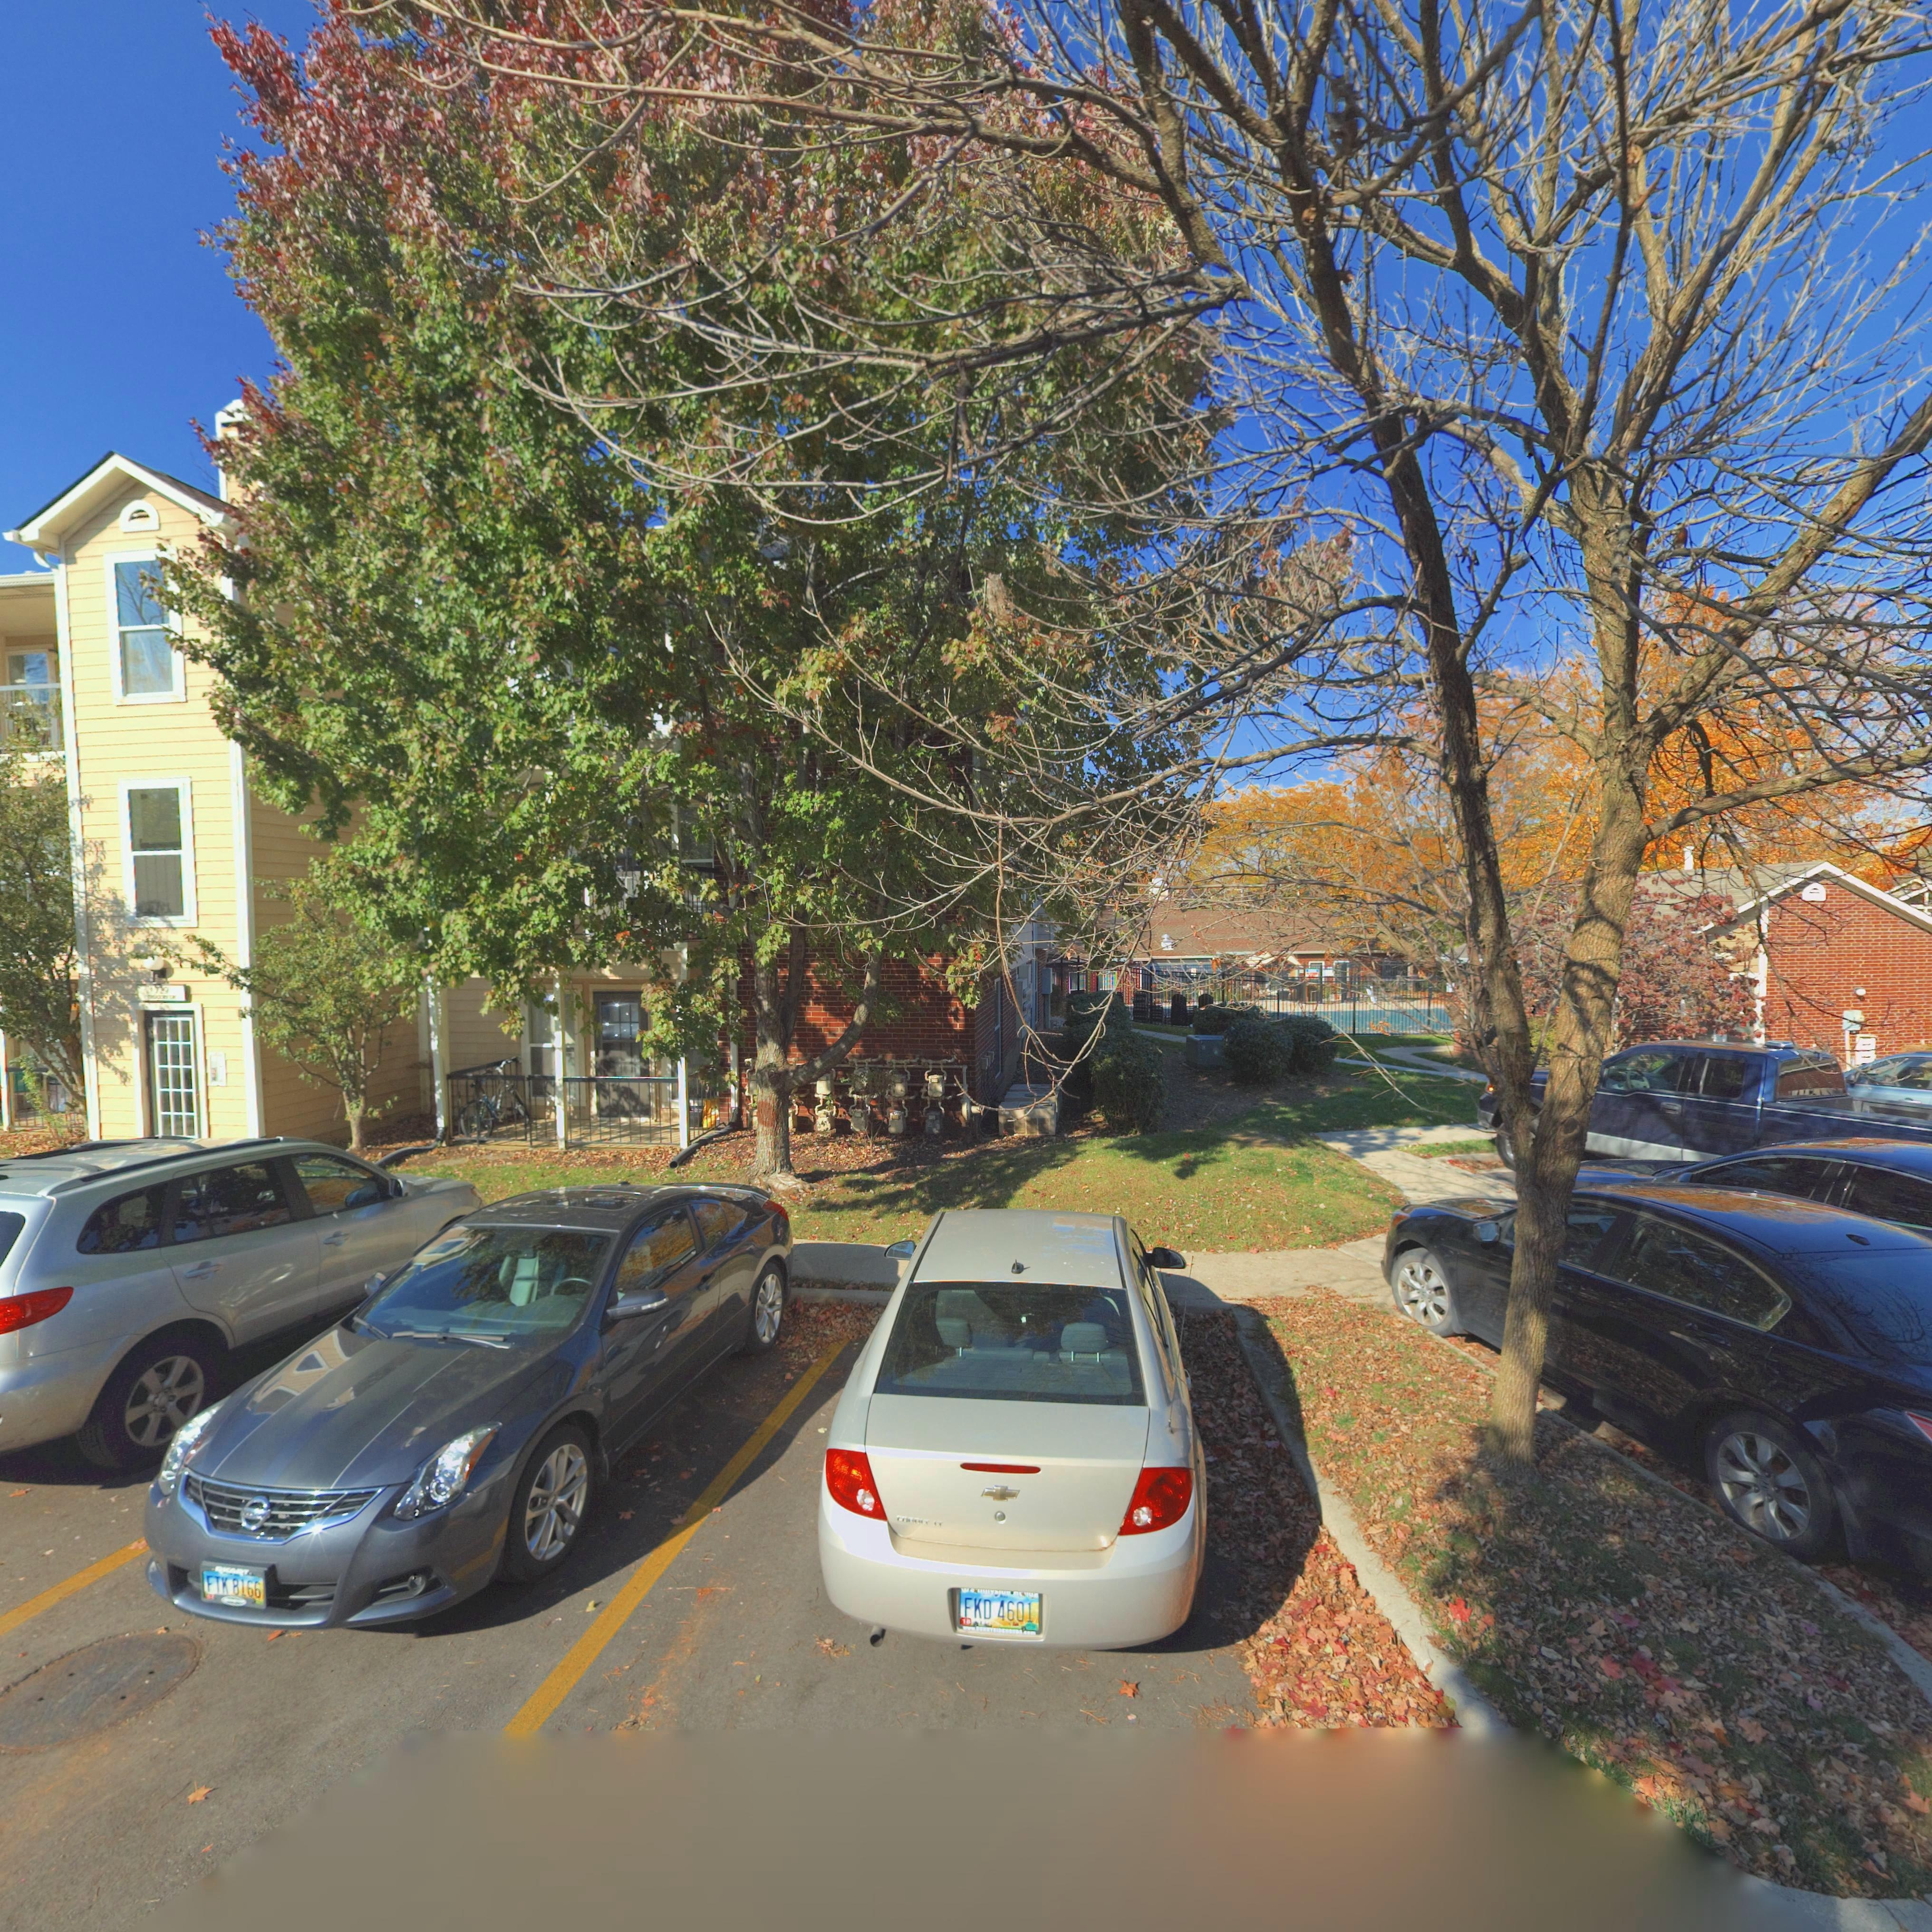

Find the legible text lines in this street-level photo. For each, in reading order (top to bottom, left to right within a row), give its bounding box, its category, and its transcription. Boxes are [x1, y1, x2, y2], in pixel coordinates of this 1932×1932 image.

[205, 1573, 263, 1601] None: FTK 8166
[959, 1617, 972, 1626] None: 1*
[964, 1596, 1034, 1623] None: FKD 4601